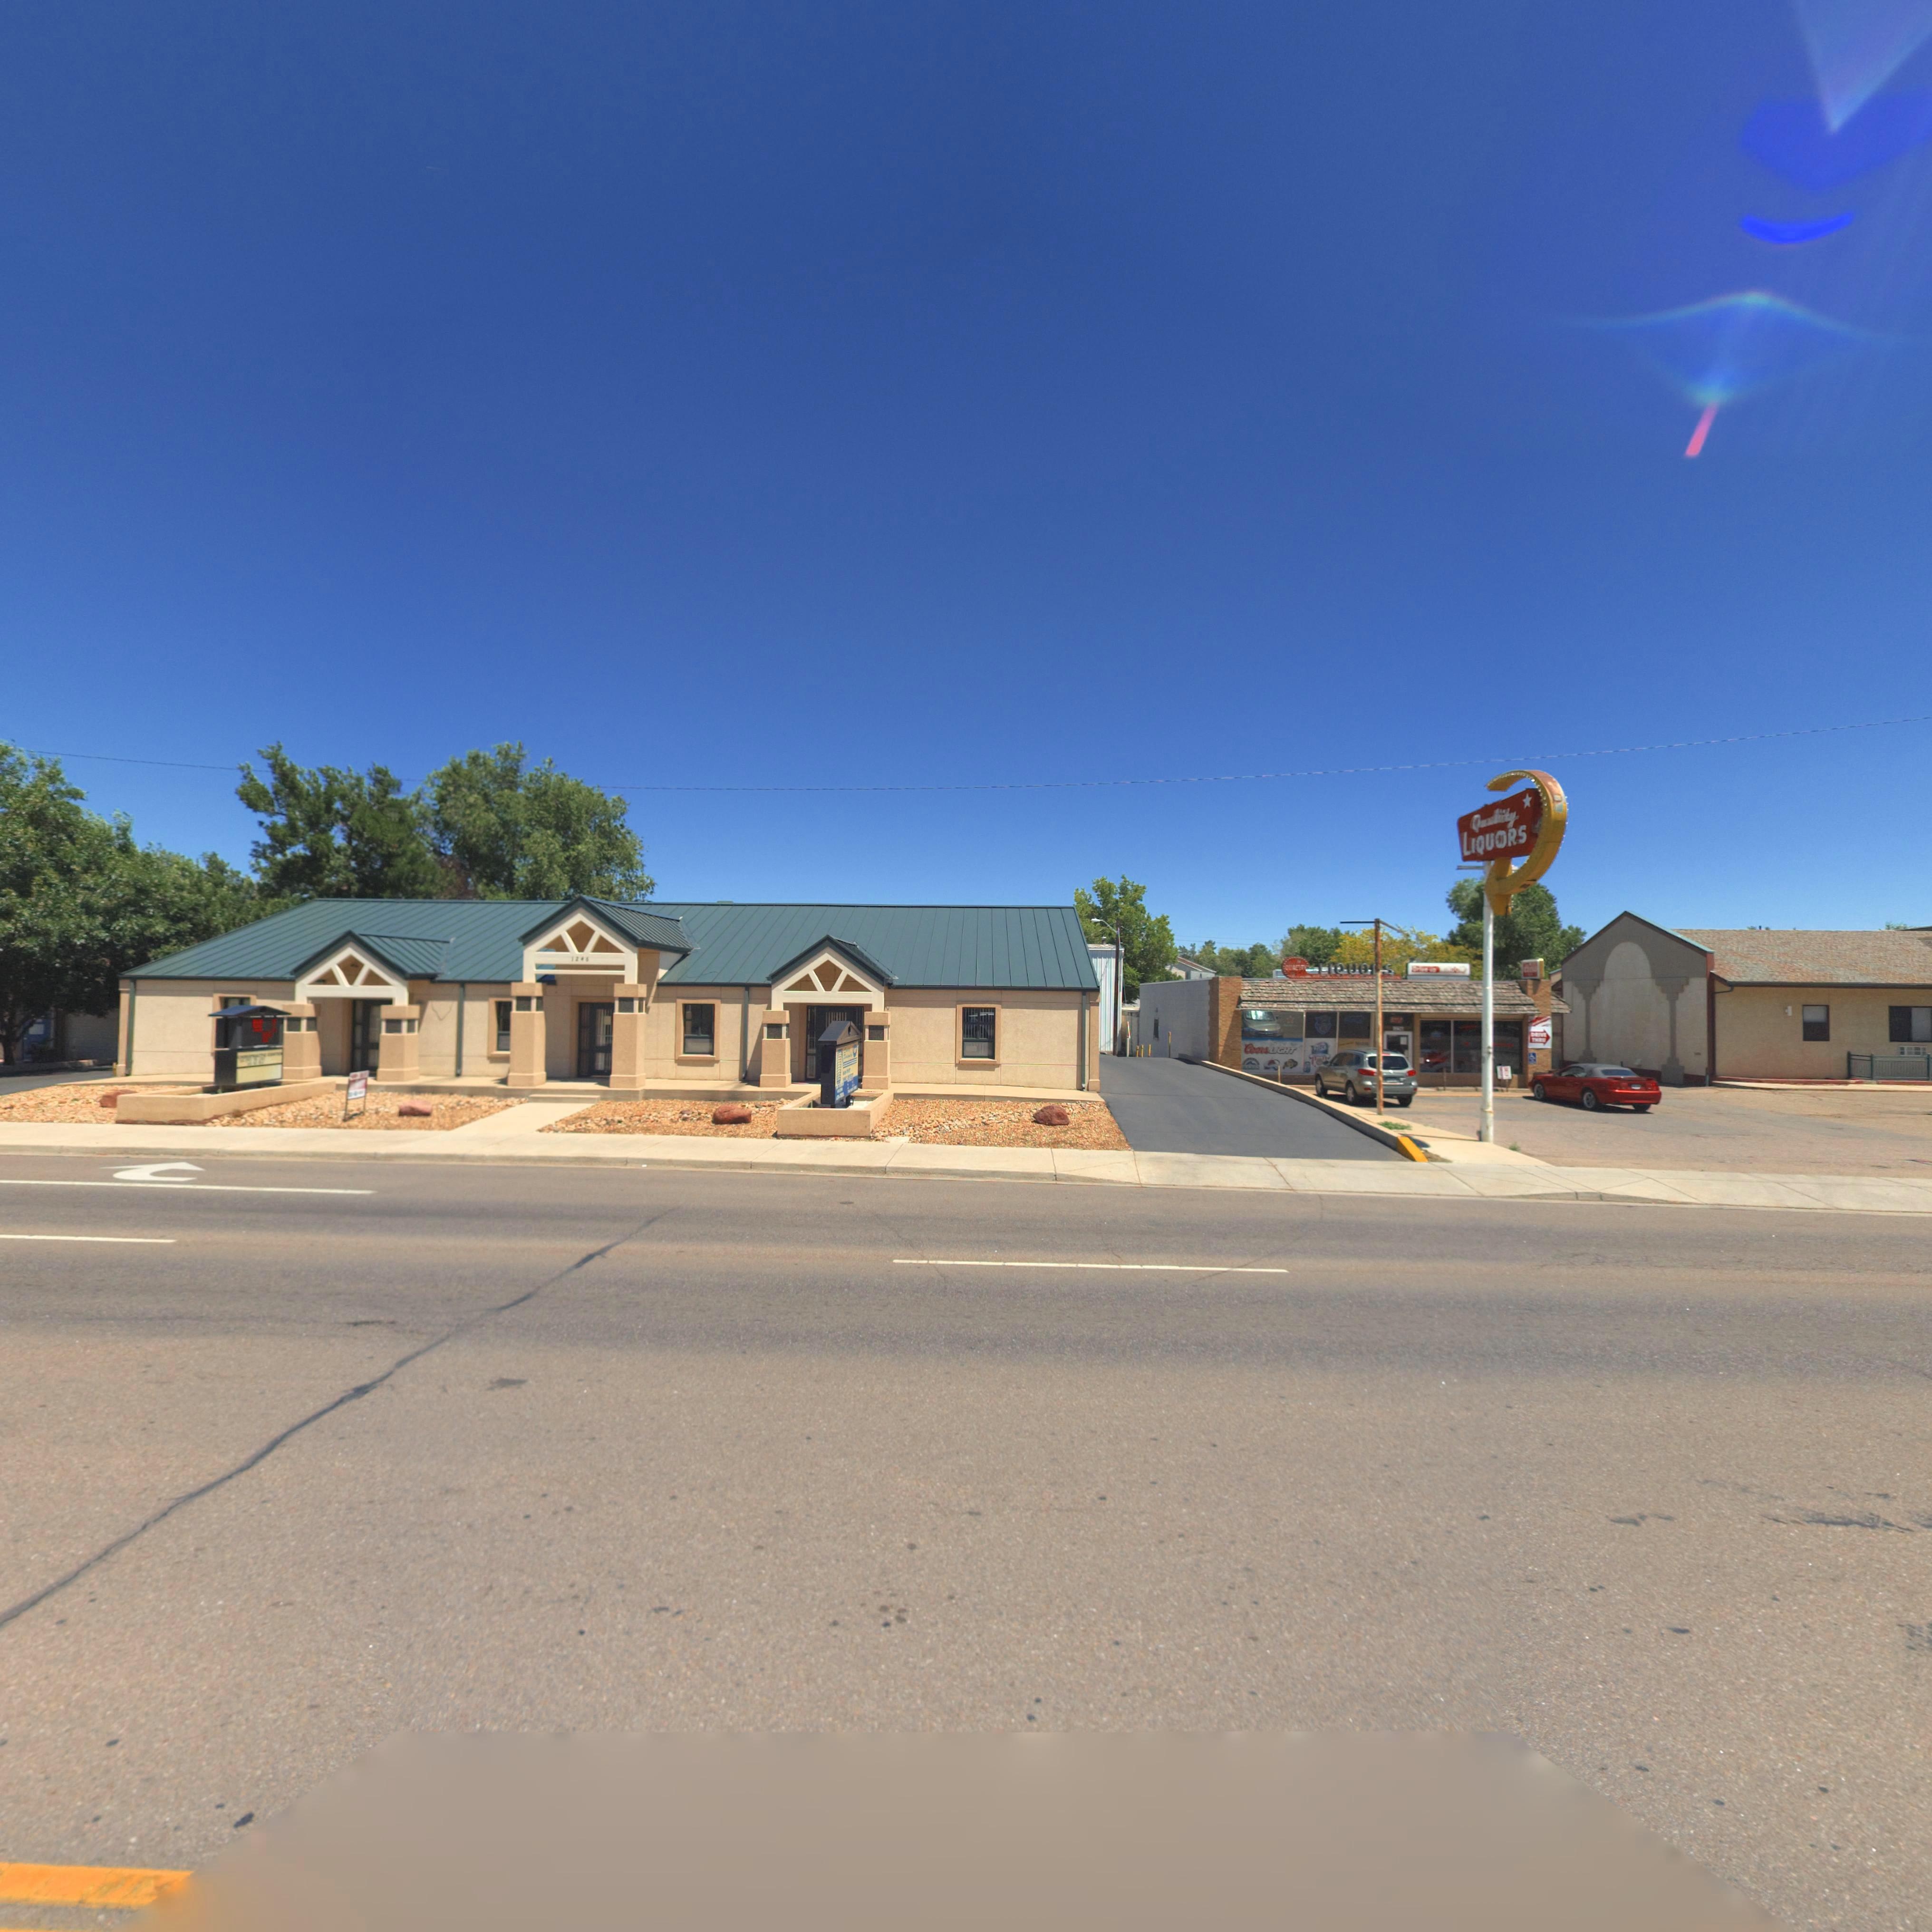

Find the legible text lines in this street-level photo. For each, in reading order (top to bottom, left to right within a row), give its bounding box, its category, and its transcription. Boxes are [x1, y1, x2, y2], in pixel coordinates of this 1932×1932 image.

[1469, 807, 1519, 833] BusinessName: Quality
[1463, 824, 1527, 857] BusinessName: LIQUORS
[570, 956, 589, 962] StreetNumber: 1246
[1282, 964, 1307, 971] BusinessName: QUALITY
[1318, 962, 1395, 976] BusinessName: LIQUO*S
[843, 1047, 850, 1053] BusinessName: S****
[843, 1053, 853, 1060] BusinessName: Desig****
[842, 1068, 850, 1075] StreetName: MAIN STREET